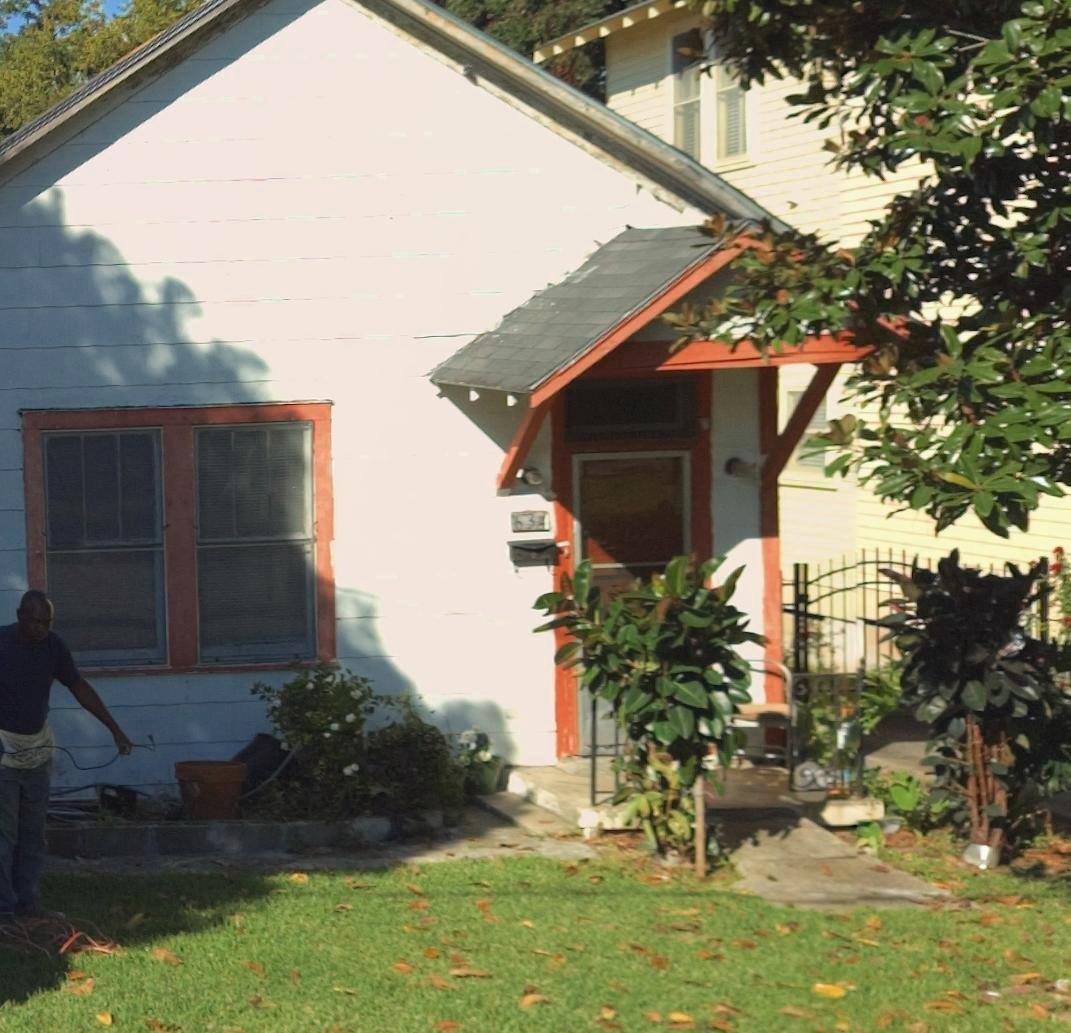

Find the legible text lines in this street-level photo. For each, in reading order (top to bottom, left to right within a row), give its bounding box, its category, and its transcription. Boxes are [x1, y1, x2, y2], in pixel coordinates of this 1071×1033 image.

[512, 511, 537, 532] StreetNumber: 63